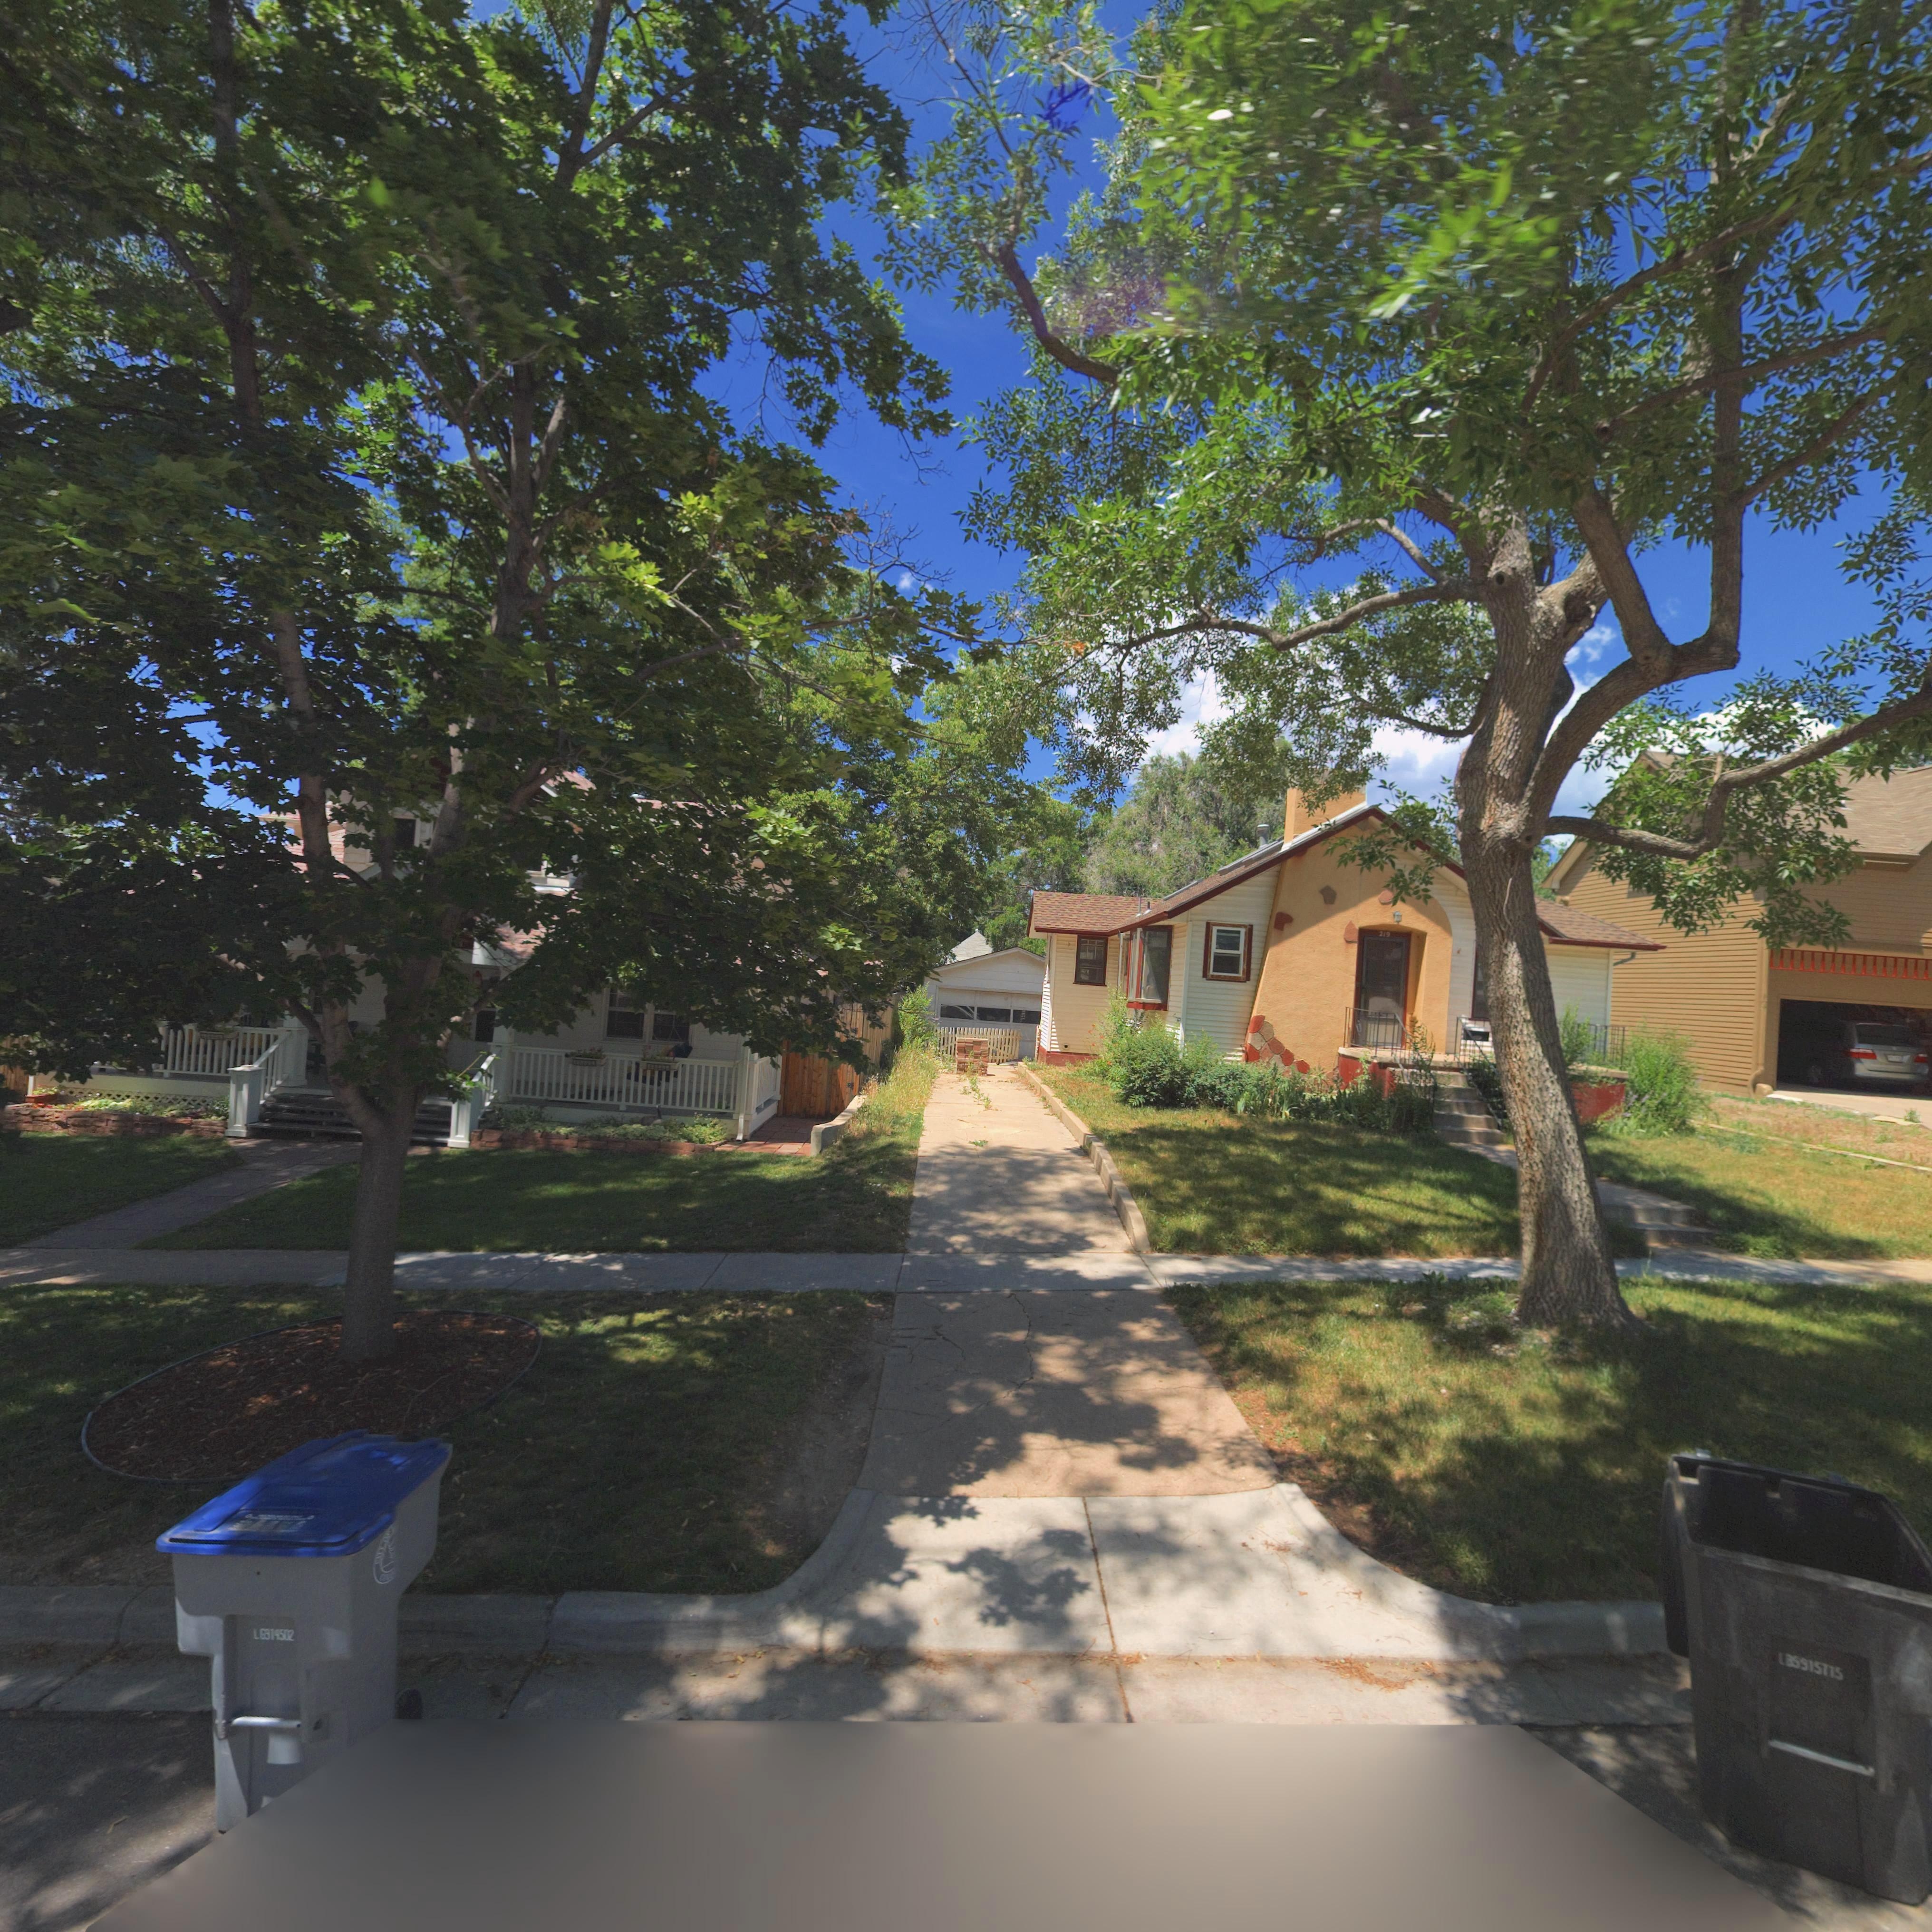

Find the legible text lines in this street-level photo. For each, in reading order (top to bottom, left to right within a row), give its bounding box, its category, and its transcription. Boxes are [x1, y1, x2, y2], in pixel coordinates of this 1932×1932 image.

[1379, 931, 1390, 937] StreetNumber: 219